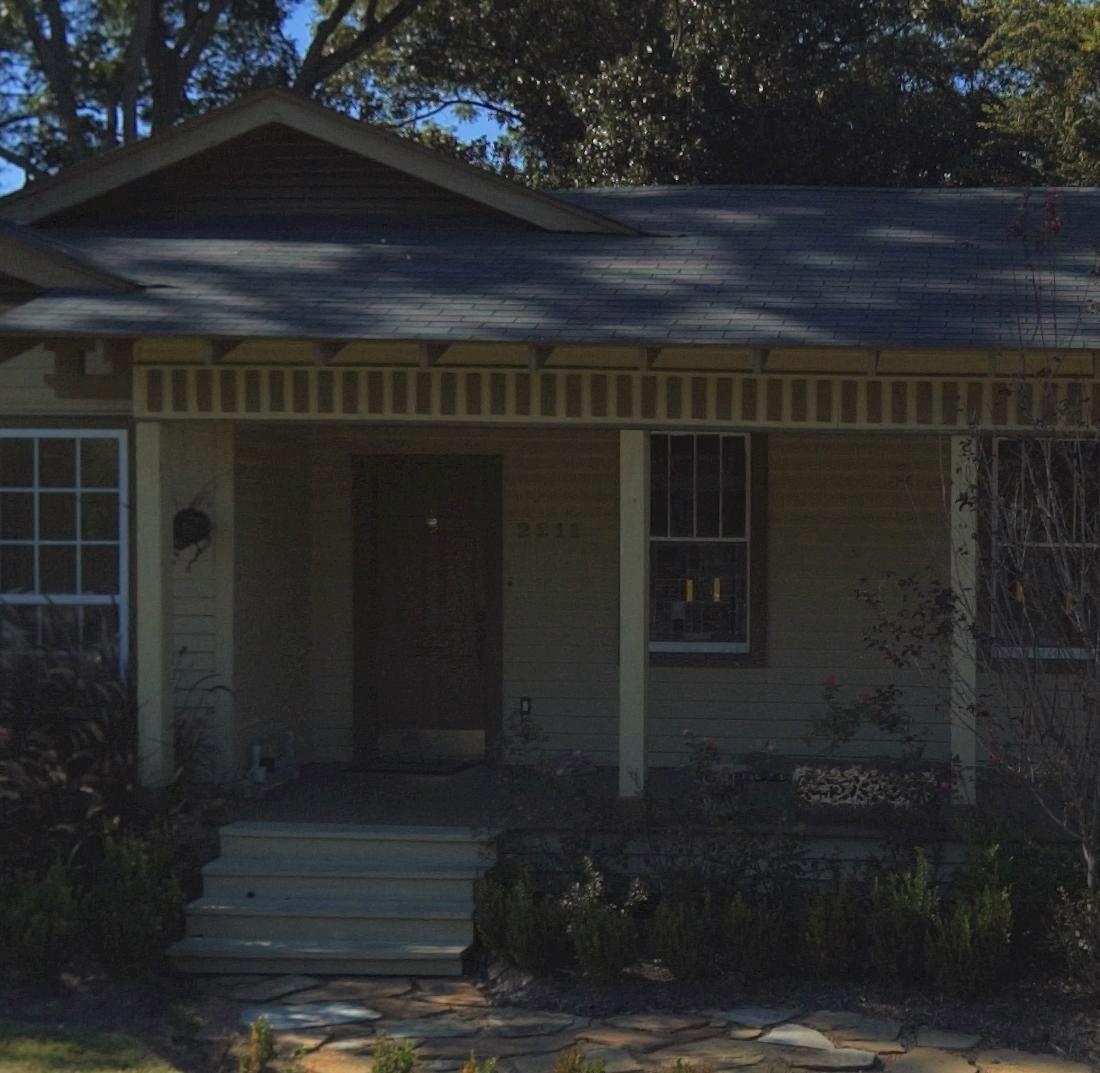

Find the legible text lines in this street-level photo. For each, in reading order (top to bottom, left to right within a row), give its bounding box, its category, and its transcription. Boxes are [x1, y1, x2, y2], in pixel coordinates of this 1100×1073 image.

[516, 520, 582, 540] StreetNumber: 2211